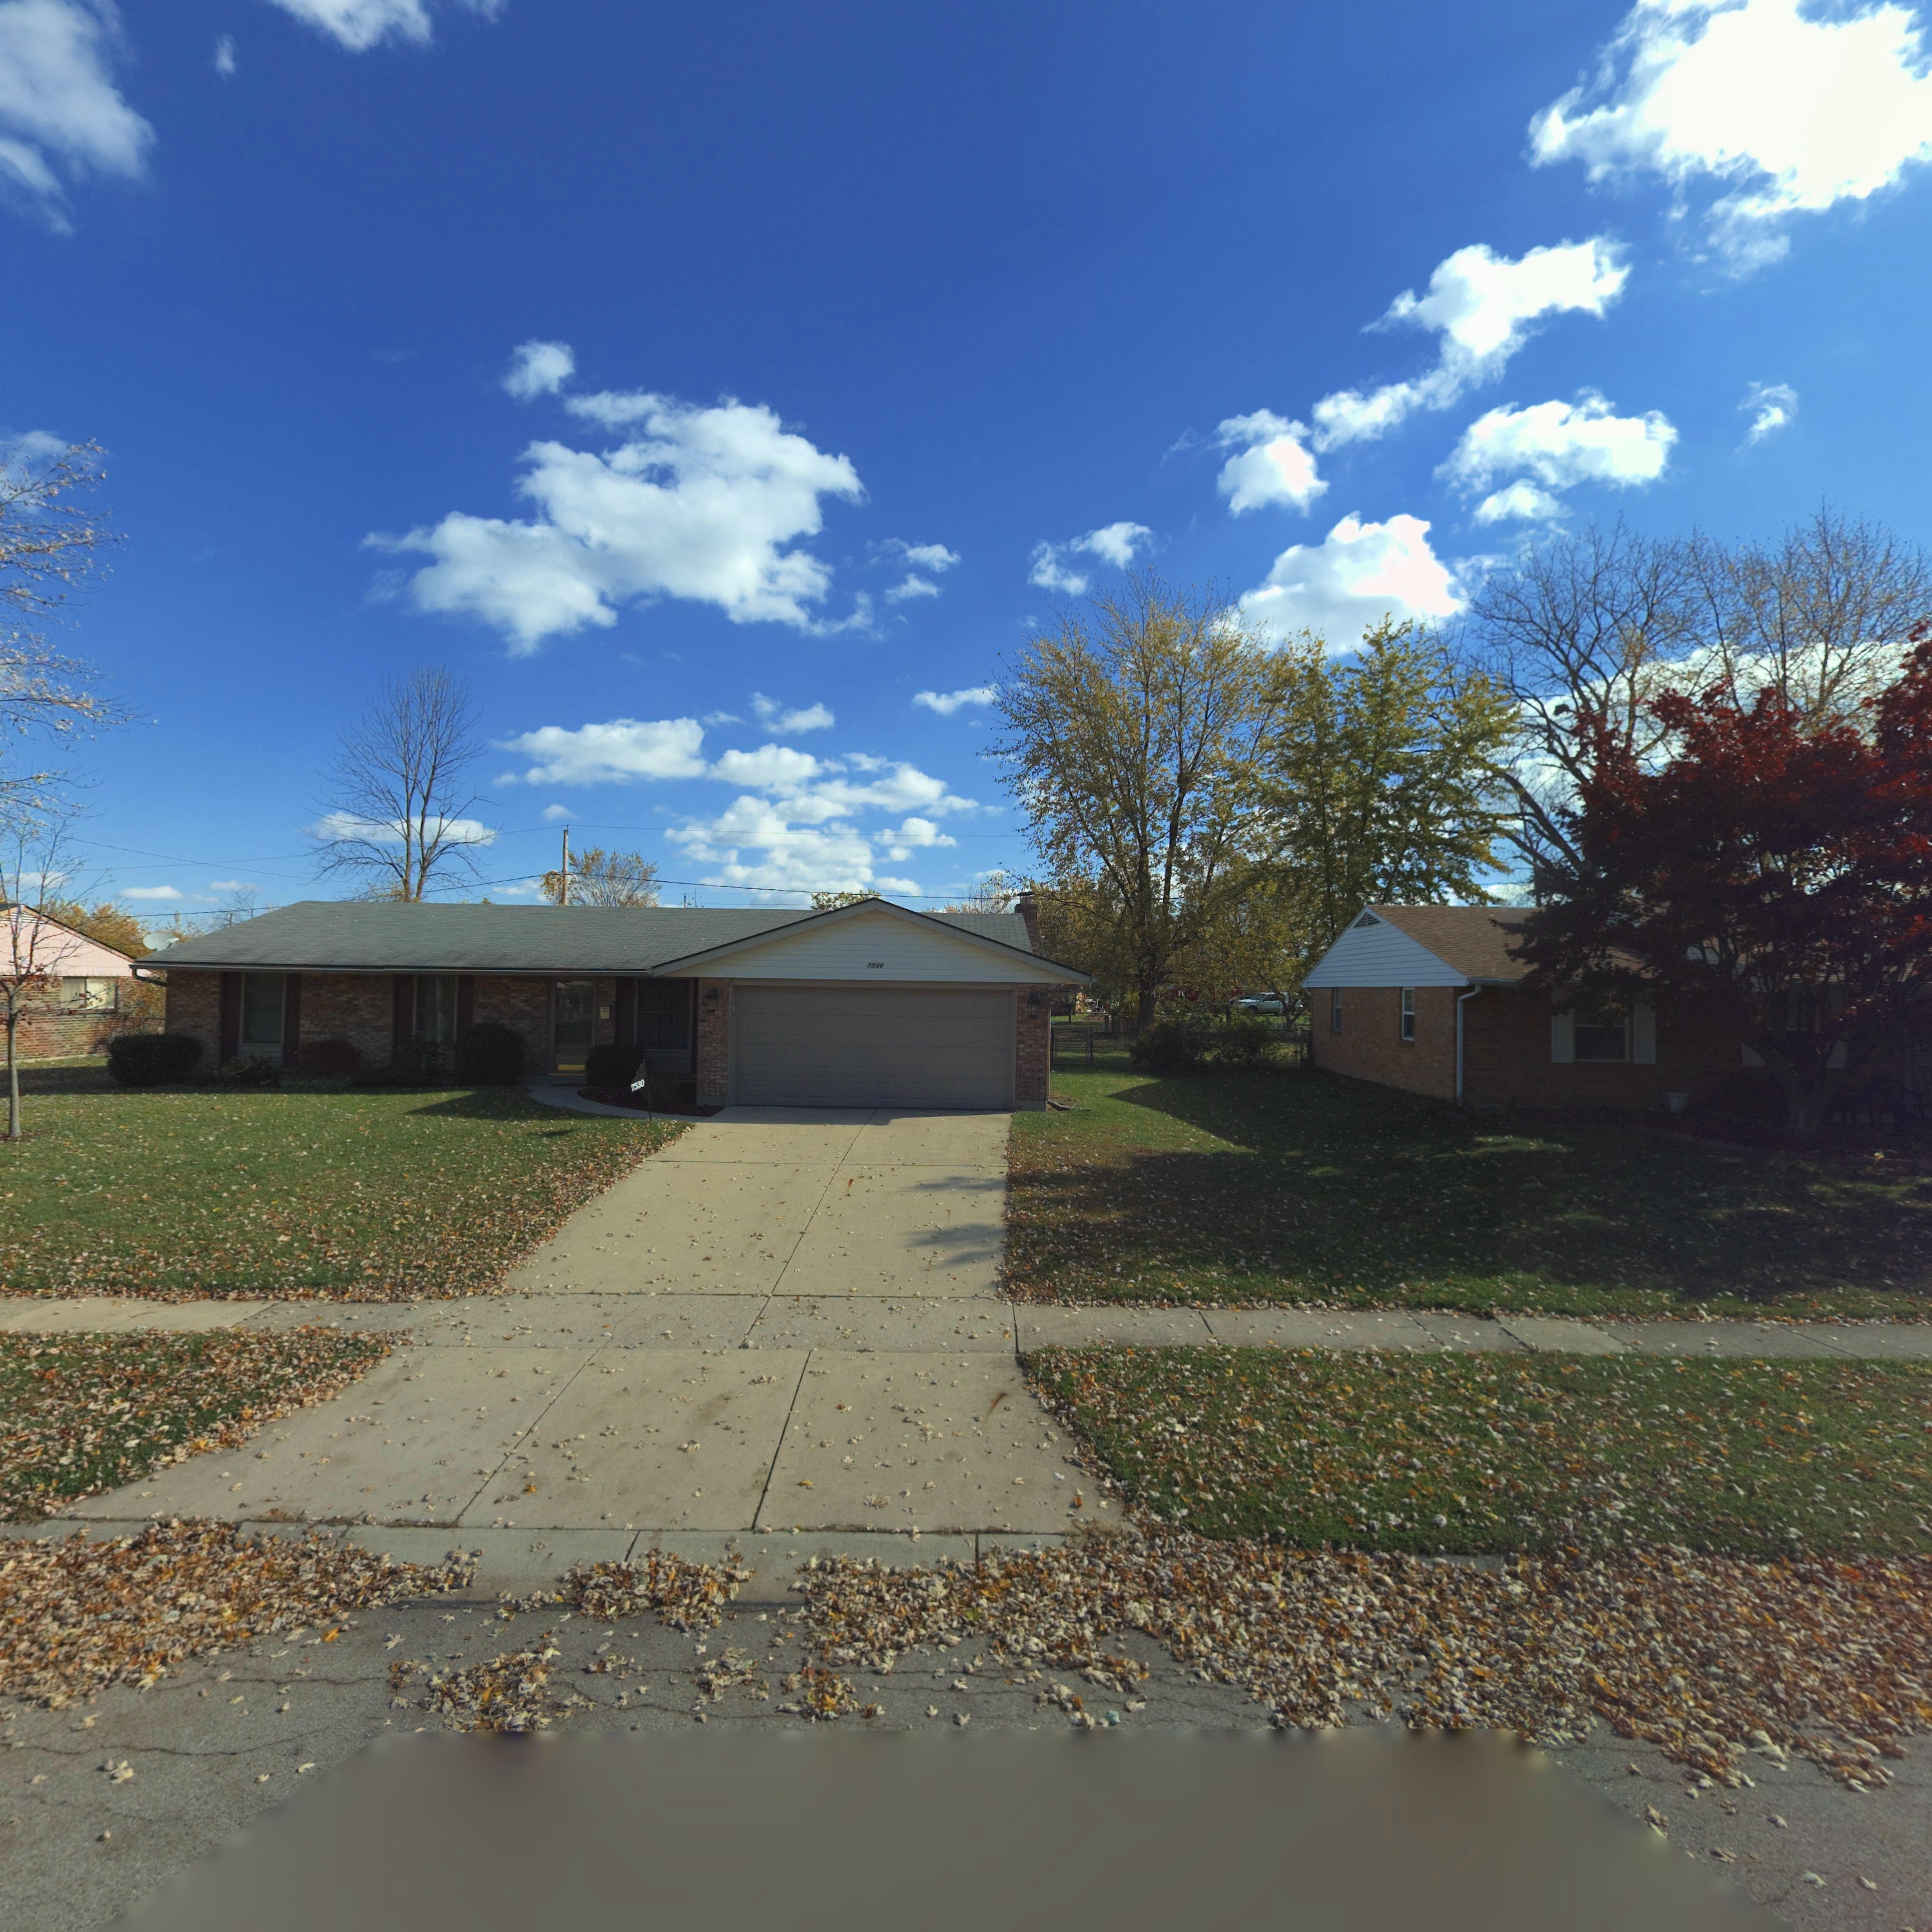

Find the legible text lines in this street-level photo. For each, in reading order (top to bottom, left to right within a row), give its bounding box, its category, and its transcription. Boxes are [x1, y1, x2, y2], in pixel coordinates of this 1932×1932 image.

[866, 962, 885, 969] StreetNumber: 7530
[629, 1077, 646, 1093] StreetNumber: 7530